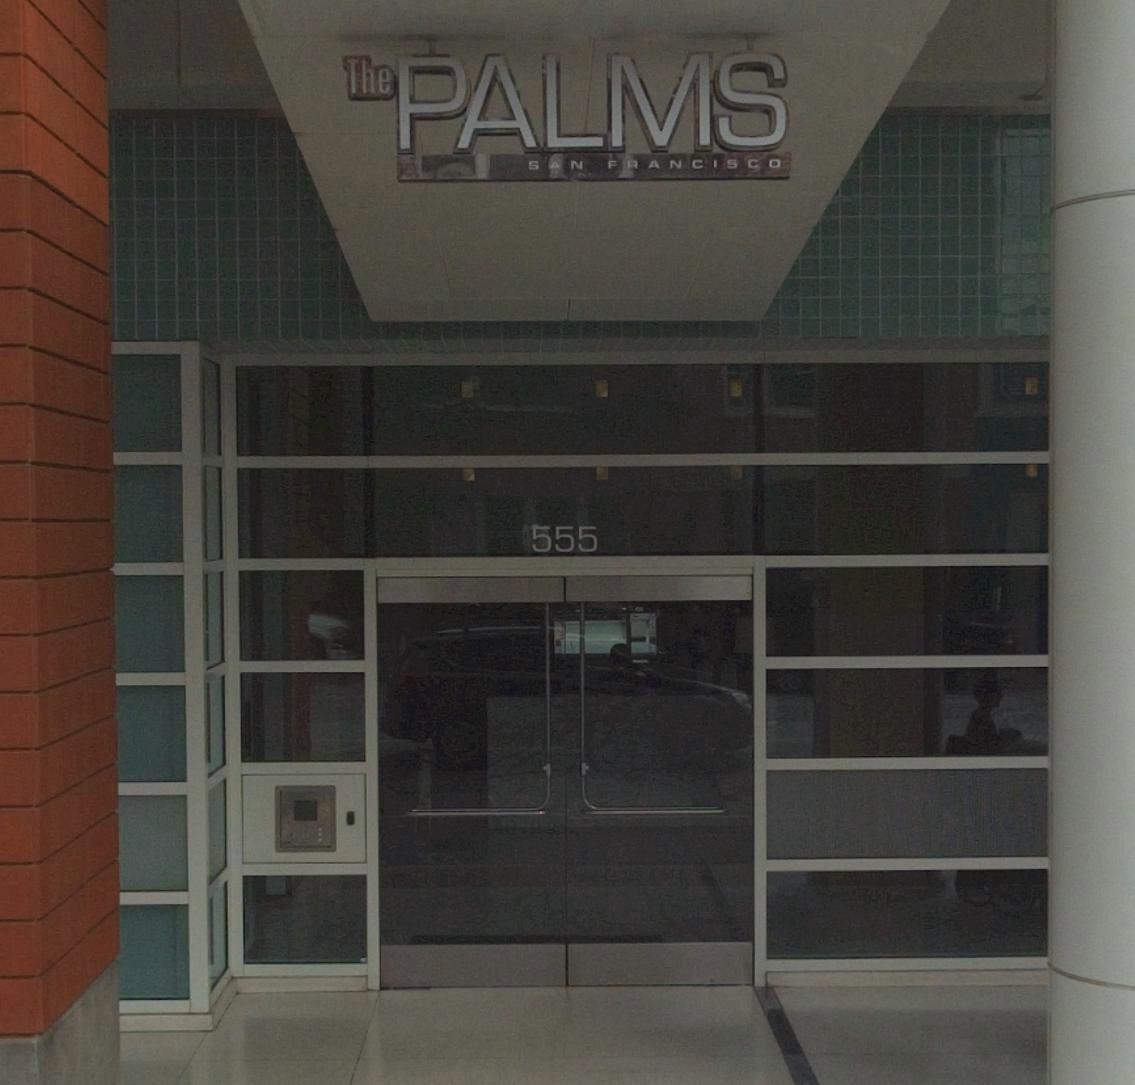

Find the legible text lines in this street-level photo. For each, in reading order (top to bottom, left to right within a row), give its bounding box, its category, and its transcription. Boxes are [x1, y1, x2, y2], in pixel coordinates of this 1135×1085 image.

[344, 56, 396, 96] BusinessName: The
[393, 49, 790, 156] BusinessName: PALMS
[525, 157, 784, 173] None: SAN FRANCISCO
[530, 524, 600, 554] StreetNumber: 555